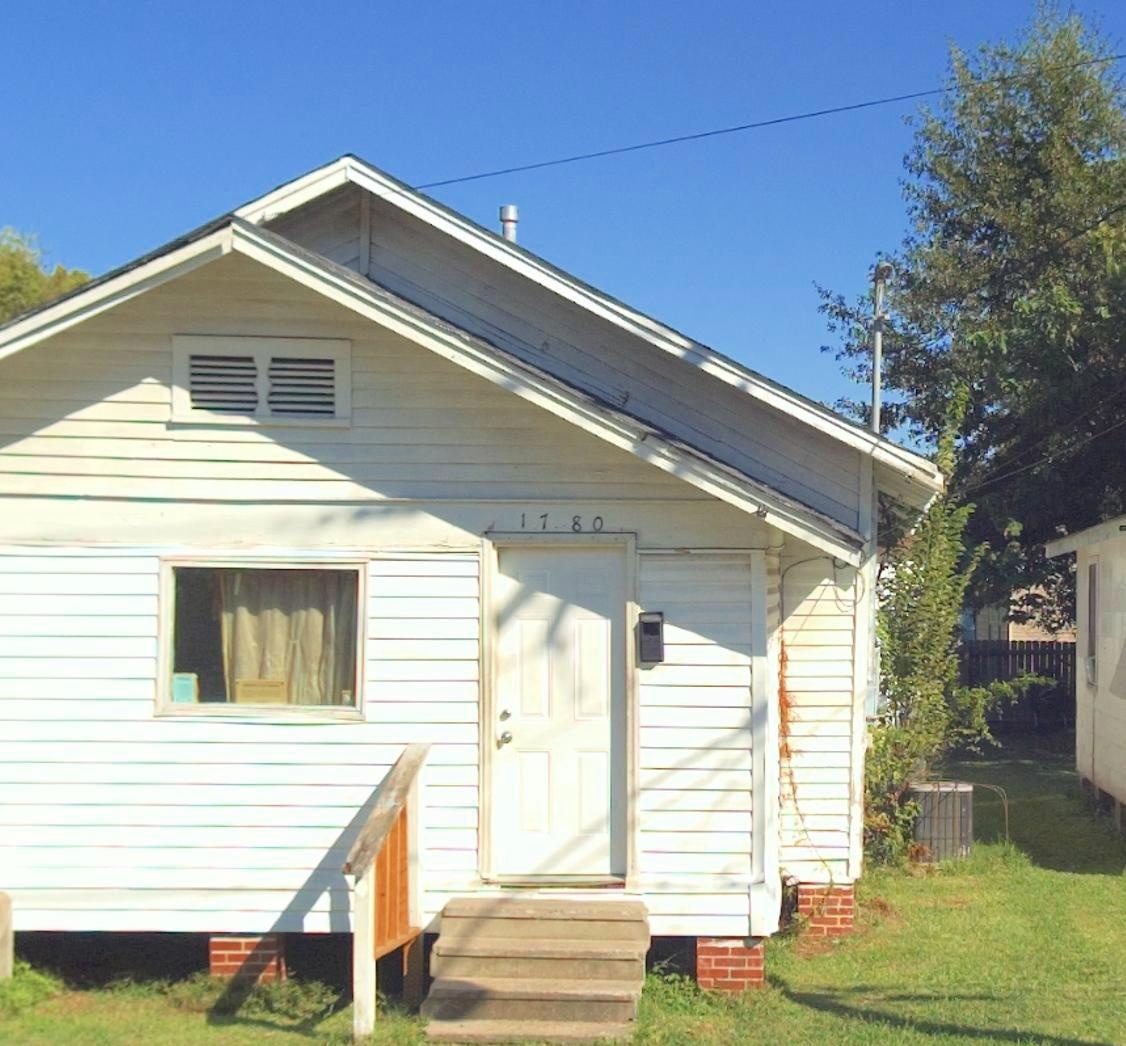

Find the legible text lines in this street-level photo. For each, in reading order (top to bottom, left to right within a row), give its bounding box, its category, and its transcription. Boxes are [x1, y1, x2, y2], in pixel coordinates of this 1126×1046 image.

[520, 511, 606, 533] StreetNumber: 17 80